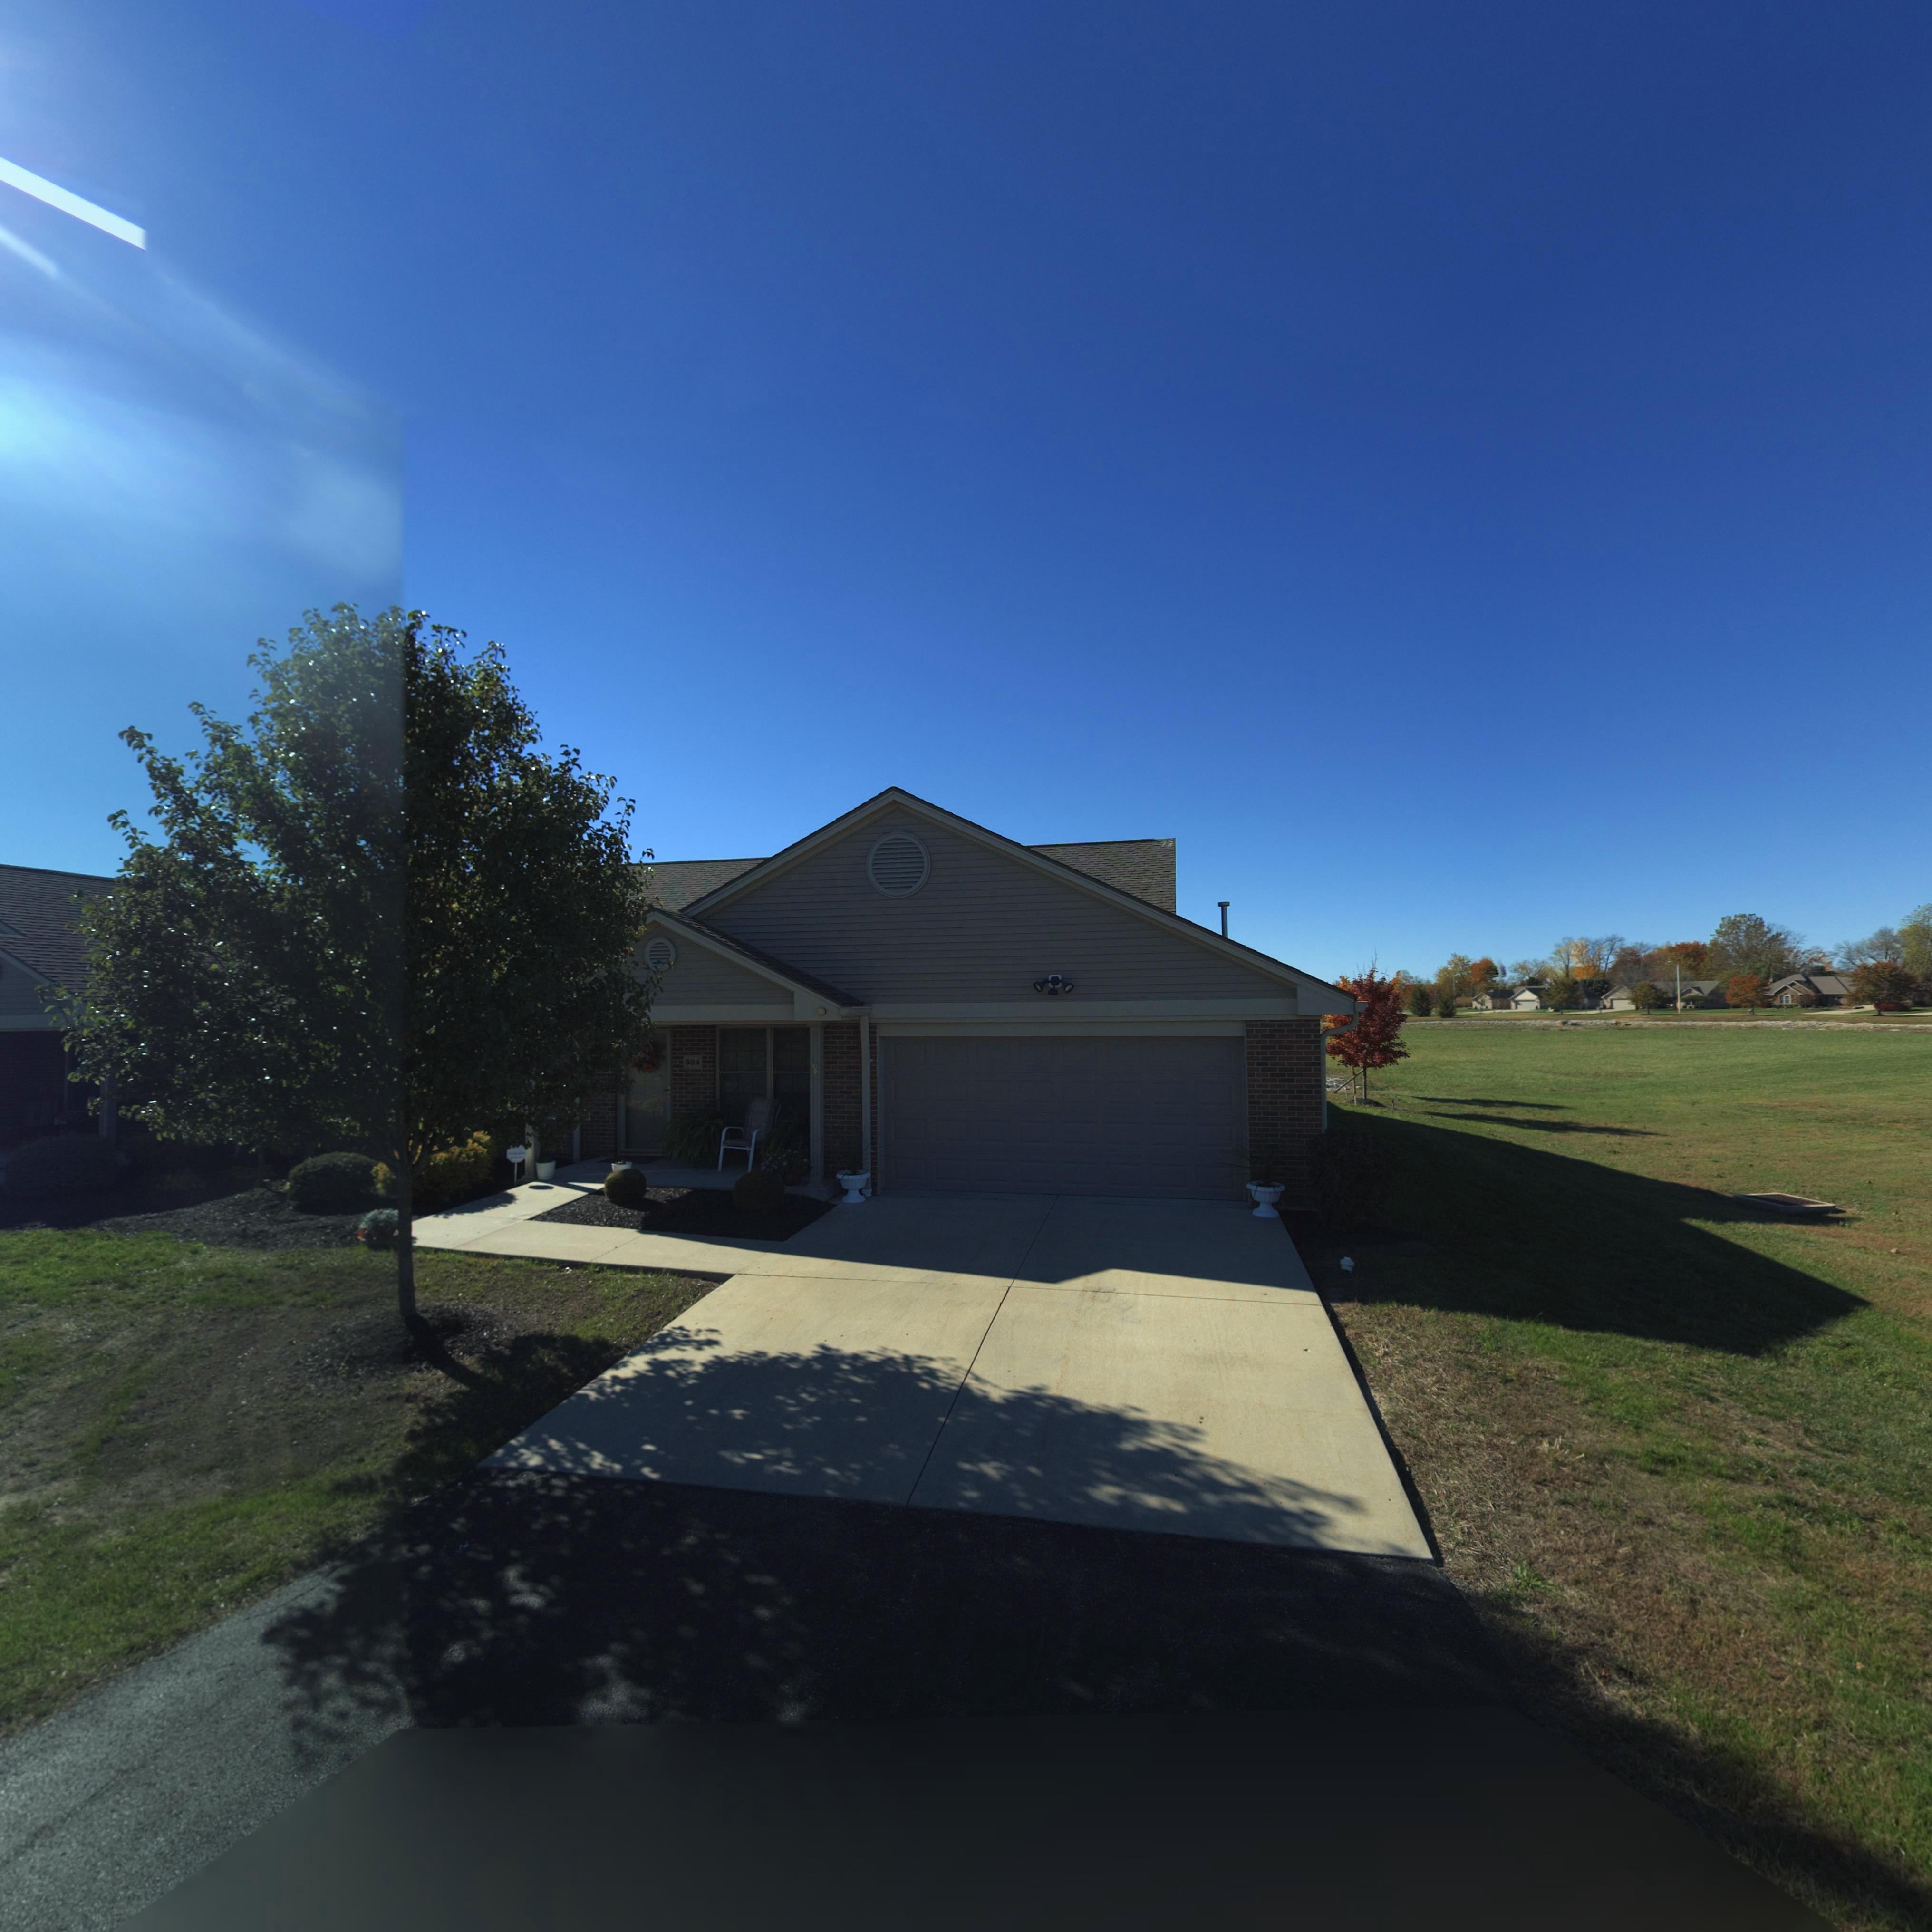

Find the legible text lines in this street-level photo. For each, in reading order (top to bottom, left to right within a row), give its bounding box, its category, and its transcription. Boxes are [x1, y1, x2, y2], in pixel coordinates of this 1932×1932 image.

[685, 1059, 700, 1065] StreetNumber: 504